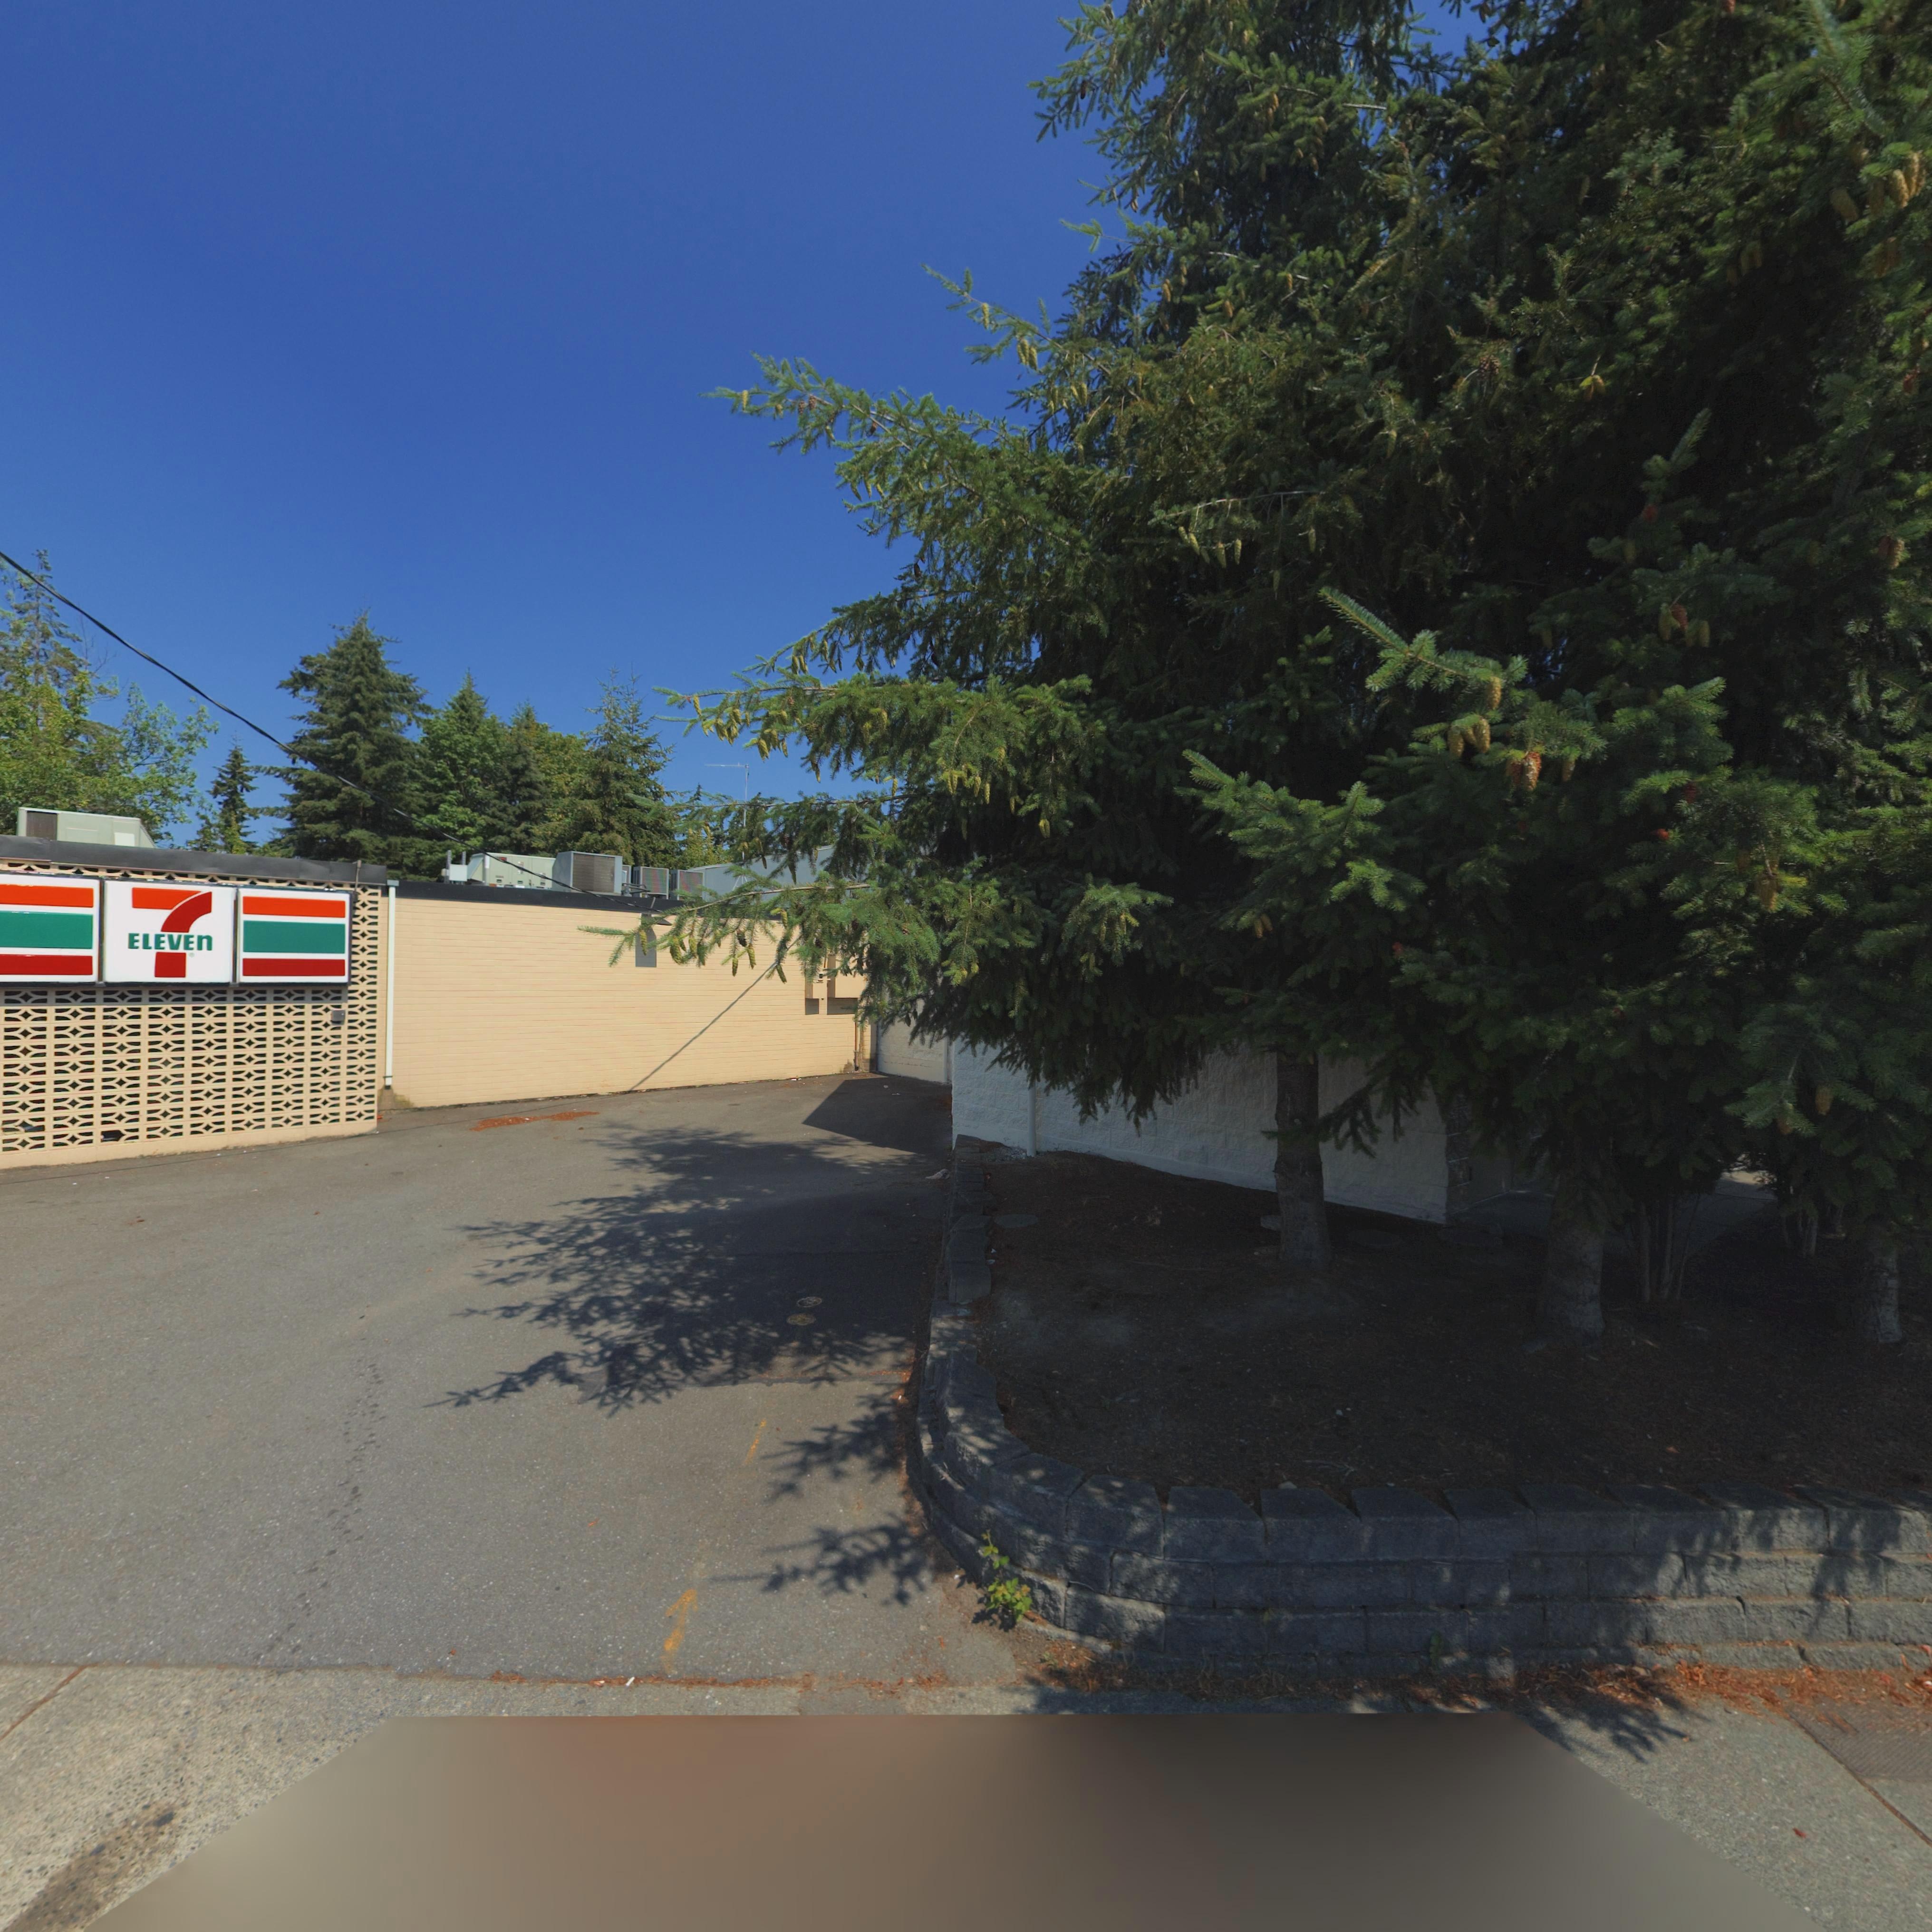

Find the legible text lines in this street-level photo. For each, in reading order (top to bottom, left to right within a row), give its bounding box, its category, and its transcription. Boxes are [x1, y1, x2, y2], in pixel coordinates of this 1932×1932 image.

[128, 933, 212, 950] BusinessName: ELEVEn